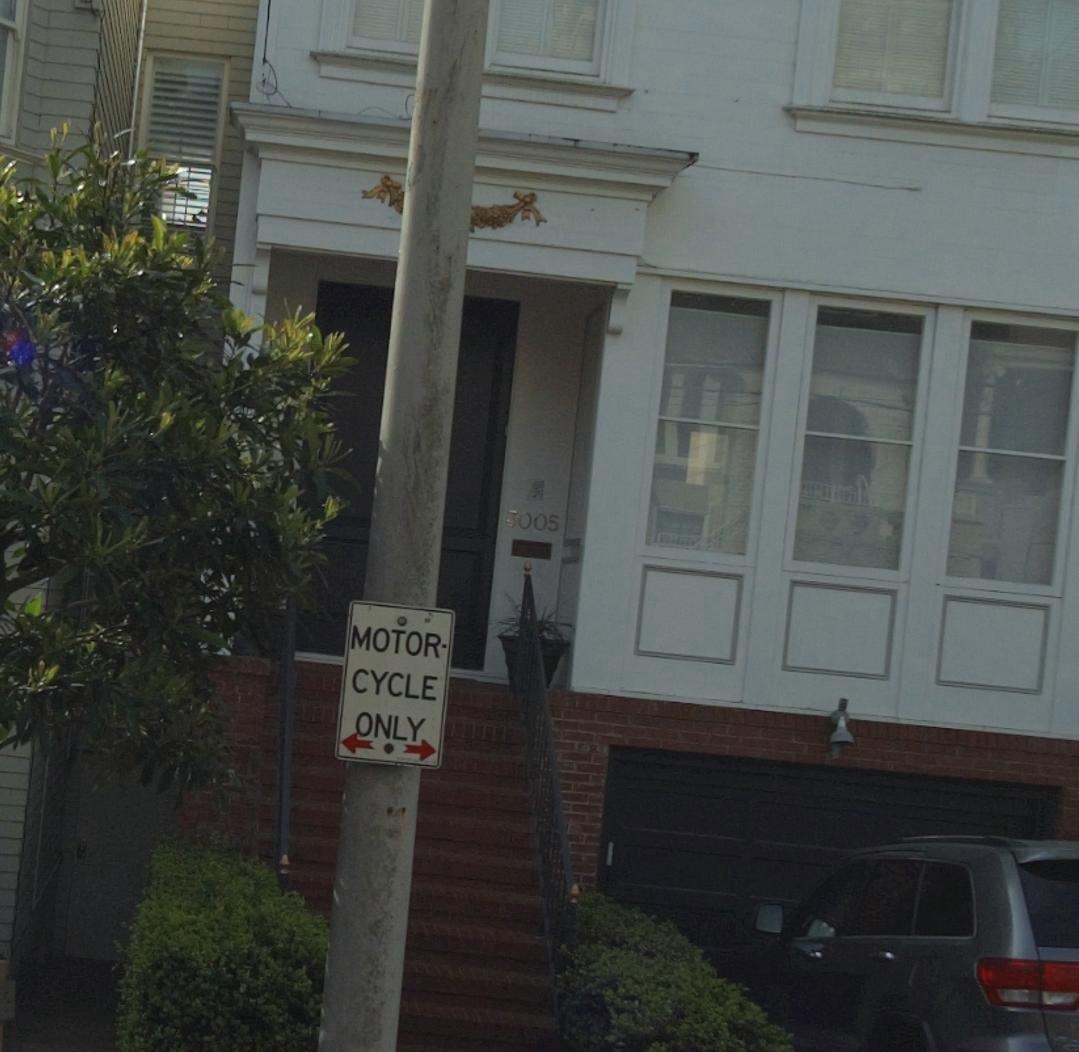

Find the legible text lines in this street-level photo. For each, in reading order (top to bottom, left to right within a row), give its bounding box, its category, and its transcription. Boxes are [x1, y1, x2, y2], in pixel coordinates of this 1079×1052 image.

[500, 506, 564, 535] StreetNumber: 3005
[346, 621, 444, 662] None: MOTOR
[347, 664, 441, 705] None: CYCLE
[351, 708, 429, 745] None: ONLY